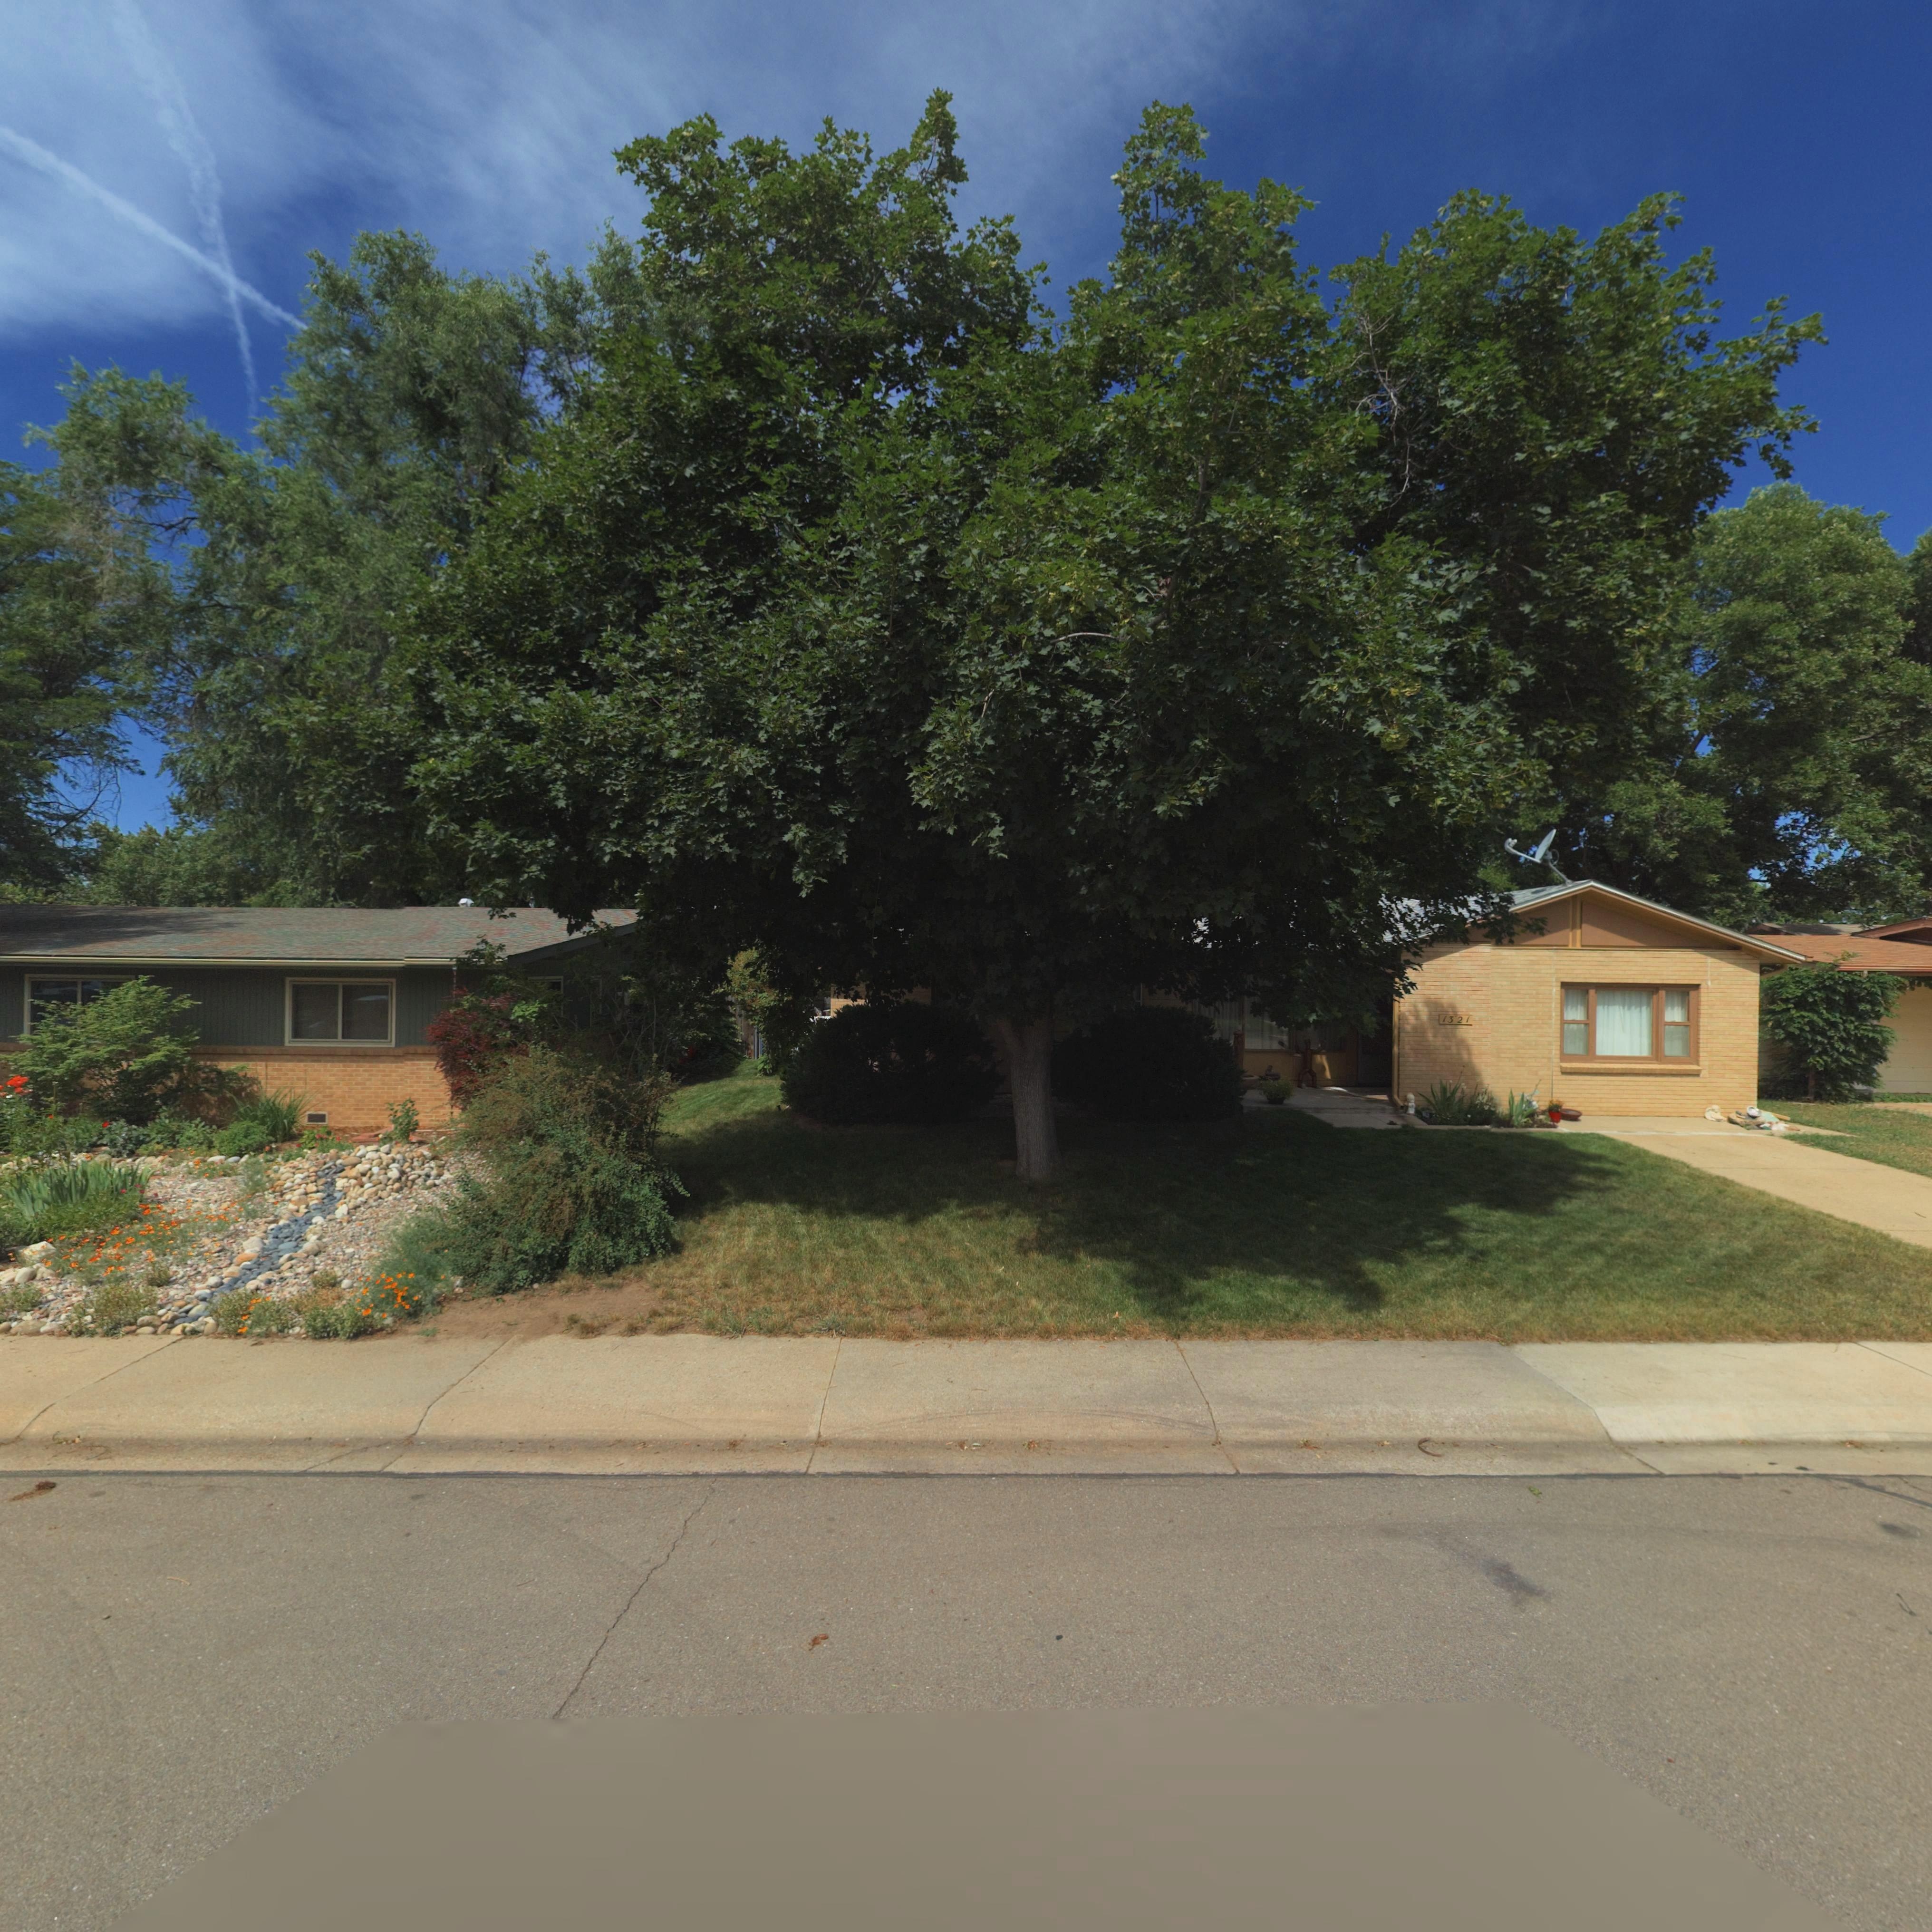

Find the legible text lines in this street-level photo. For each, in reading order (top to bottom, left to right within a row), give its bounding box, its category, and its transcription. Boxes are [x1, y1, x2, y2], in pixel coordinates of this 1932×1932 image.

[1442, 1015, 1470, 1023] StreetNumber: 1321